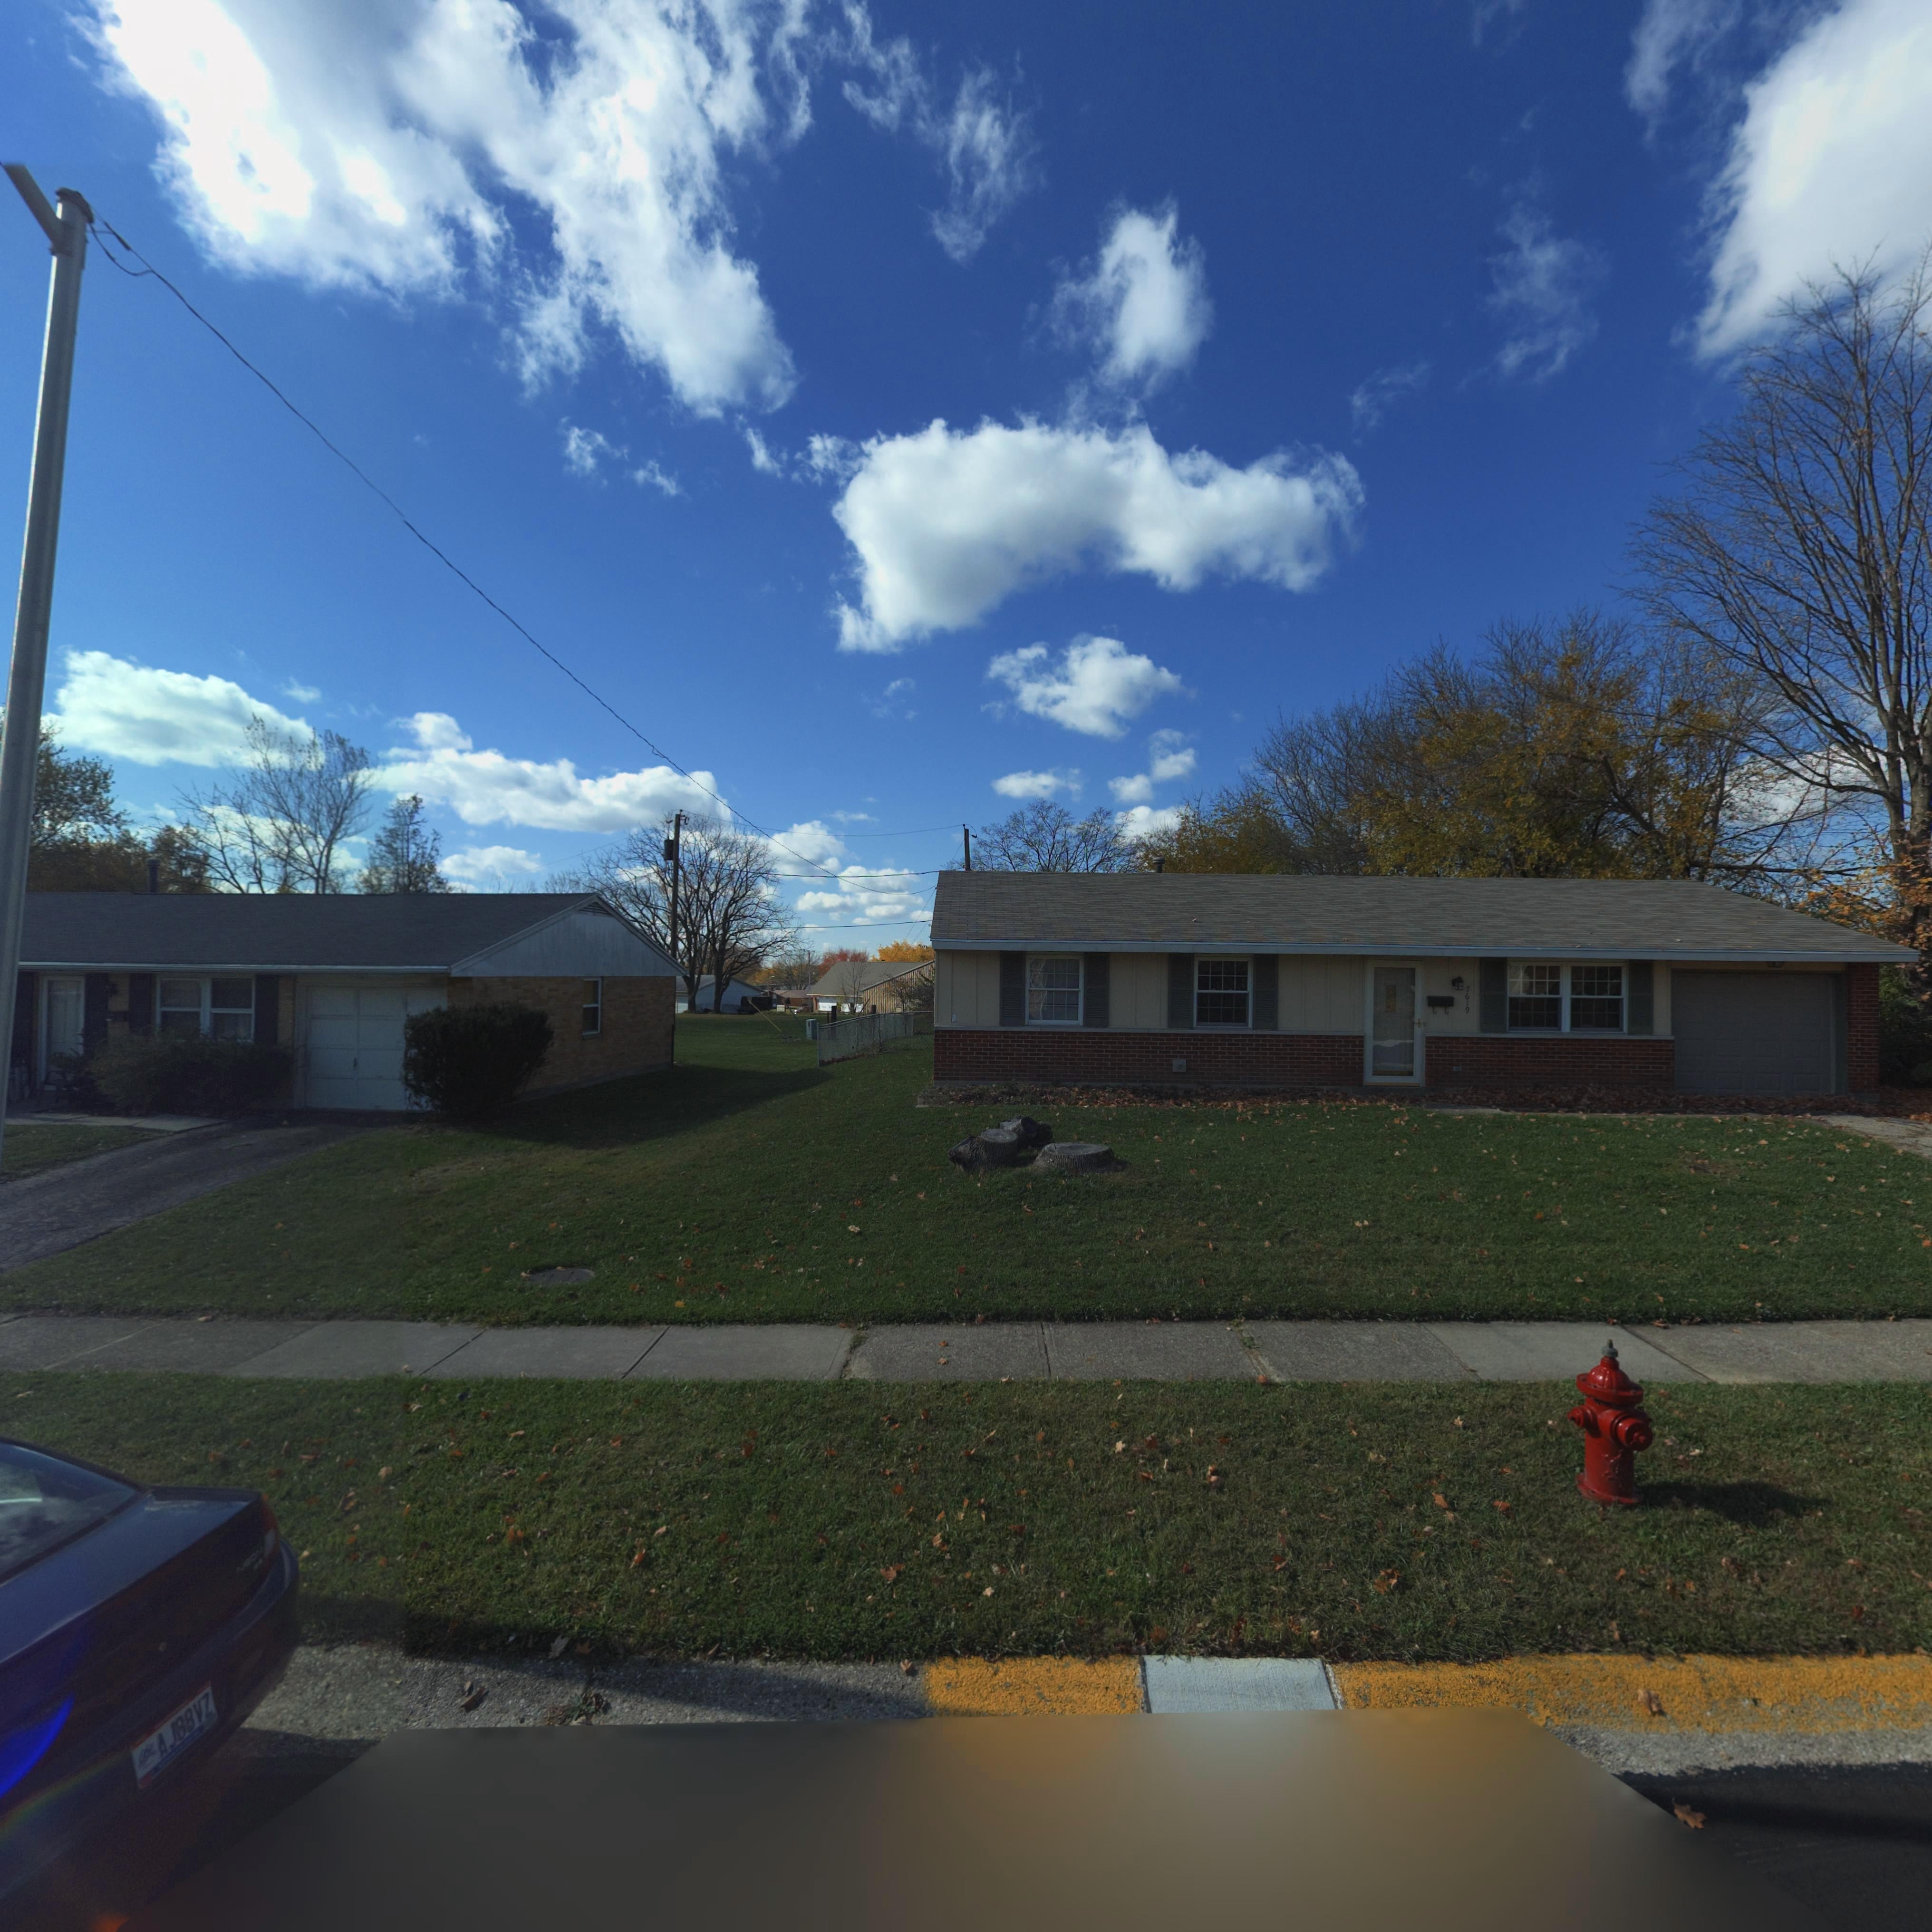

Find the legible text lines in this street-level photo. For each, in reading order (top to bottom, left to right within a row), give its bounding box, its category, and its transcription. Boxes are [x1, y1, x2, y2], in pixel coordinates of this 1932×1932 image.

[1464, 985, 1470, 1014] StreetNumber: 7619